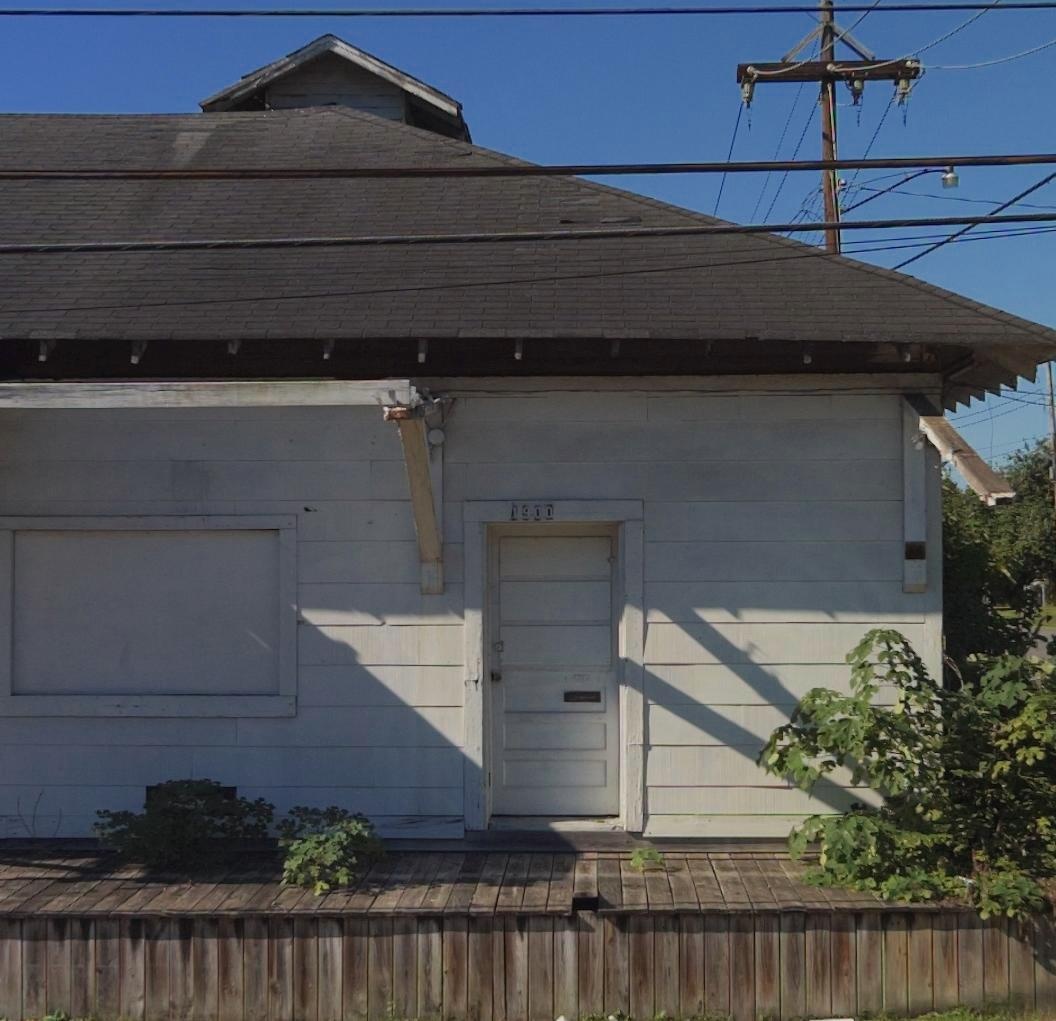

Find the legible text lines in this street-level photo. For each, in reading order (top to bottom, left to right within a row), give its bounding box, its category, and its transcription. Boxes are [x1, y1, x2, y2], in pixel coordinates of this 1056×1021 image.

[509, 504, 556, 523] StreetNumber: 1900